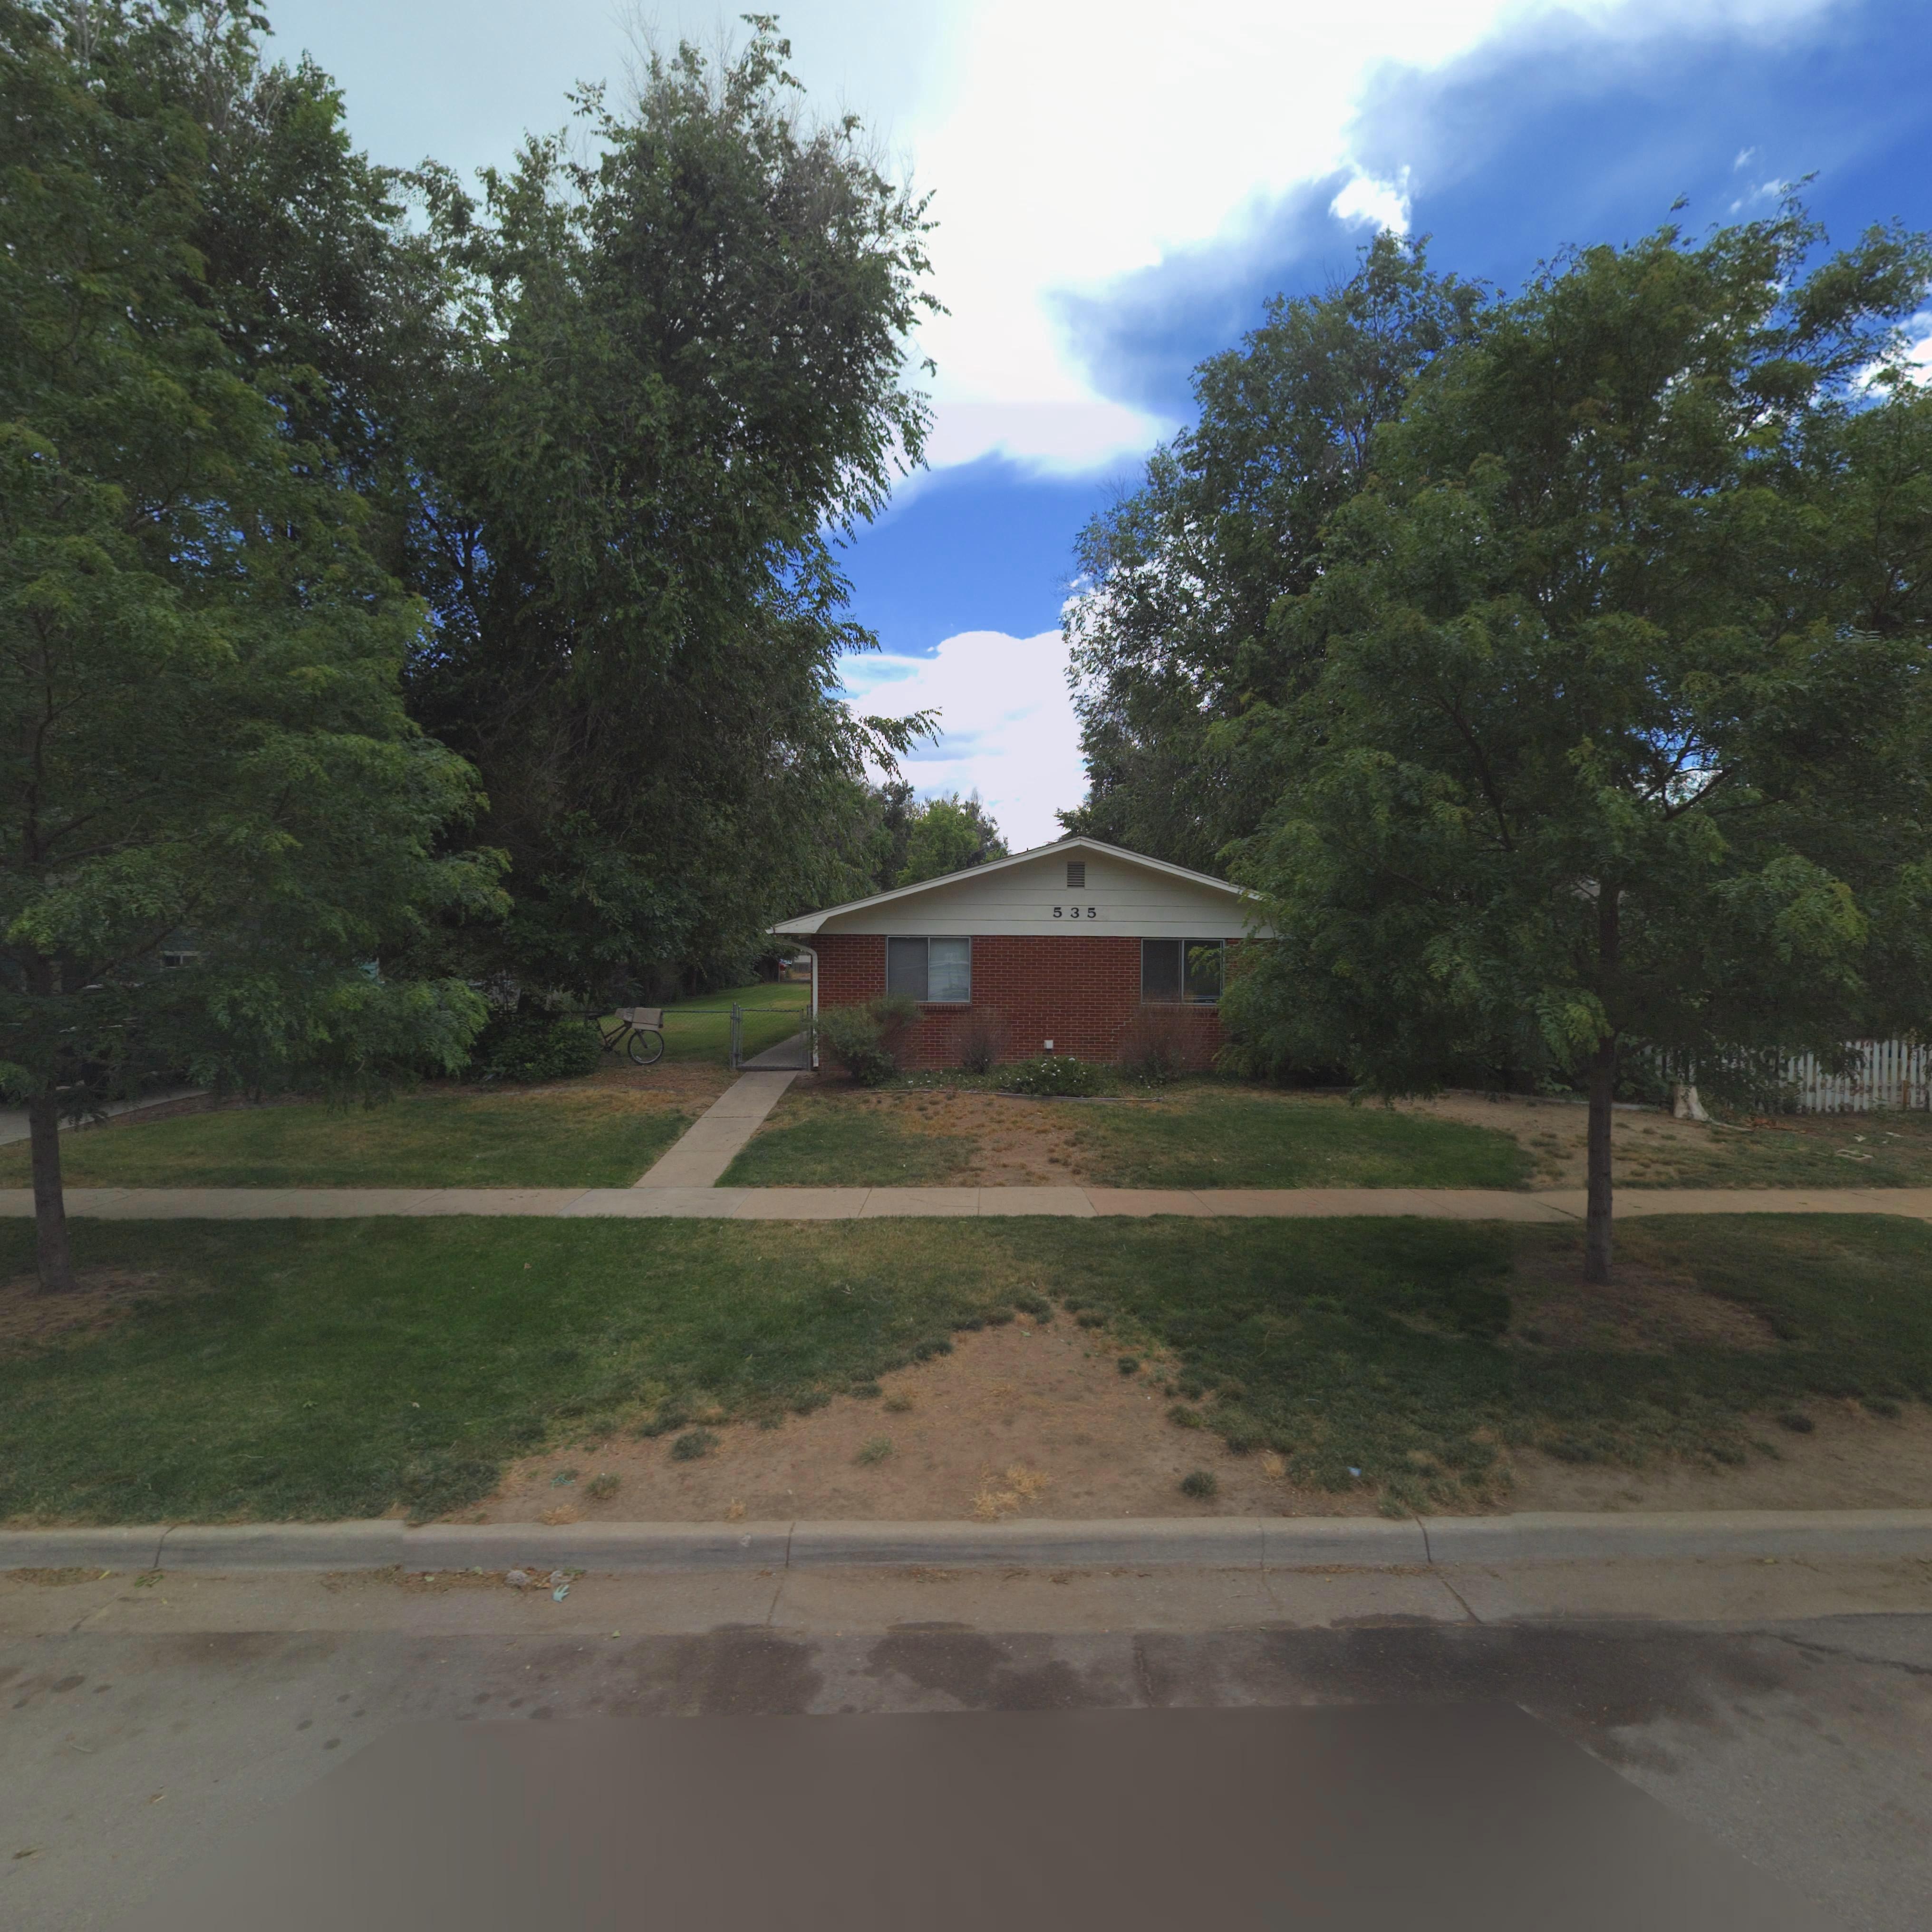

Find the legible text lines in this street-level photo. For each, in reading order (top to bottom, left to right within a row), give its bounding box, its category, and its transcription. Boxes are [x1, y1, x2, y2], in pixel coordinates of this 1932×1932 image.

[1052, 907, 1097, 918] StreetNumber: 535